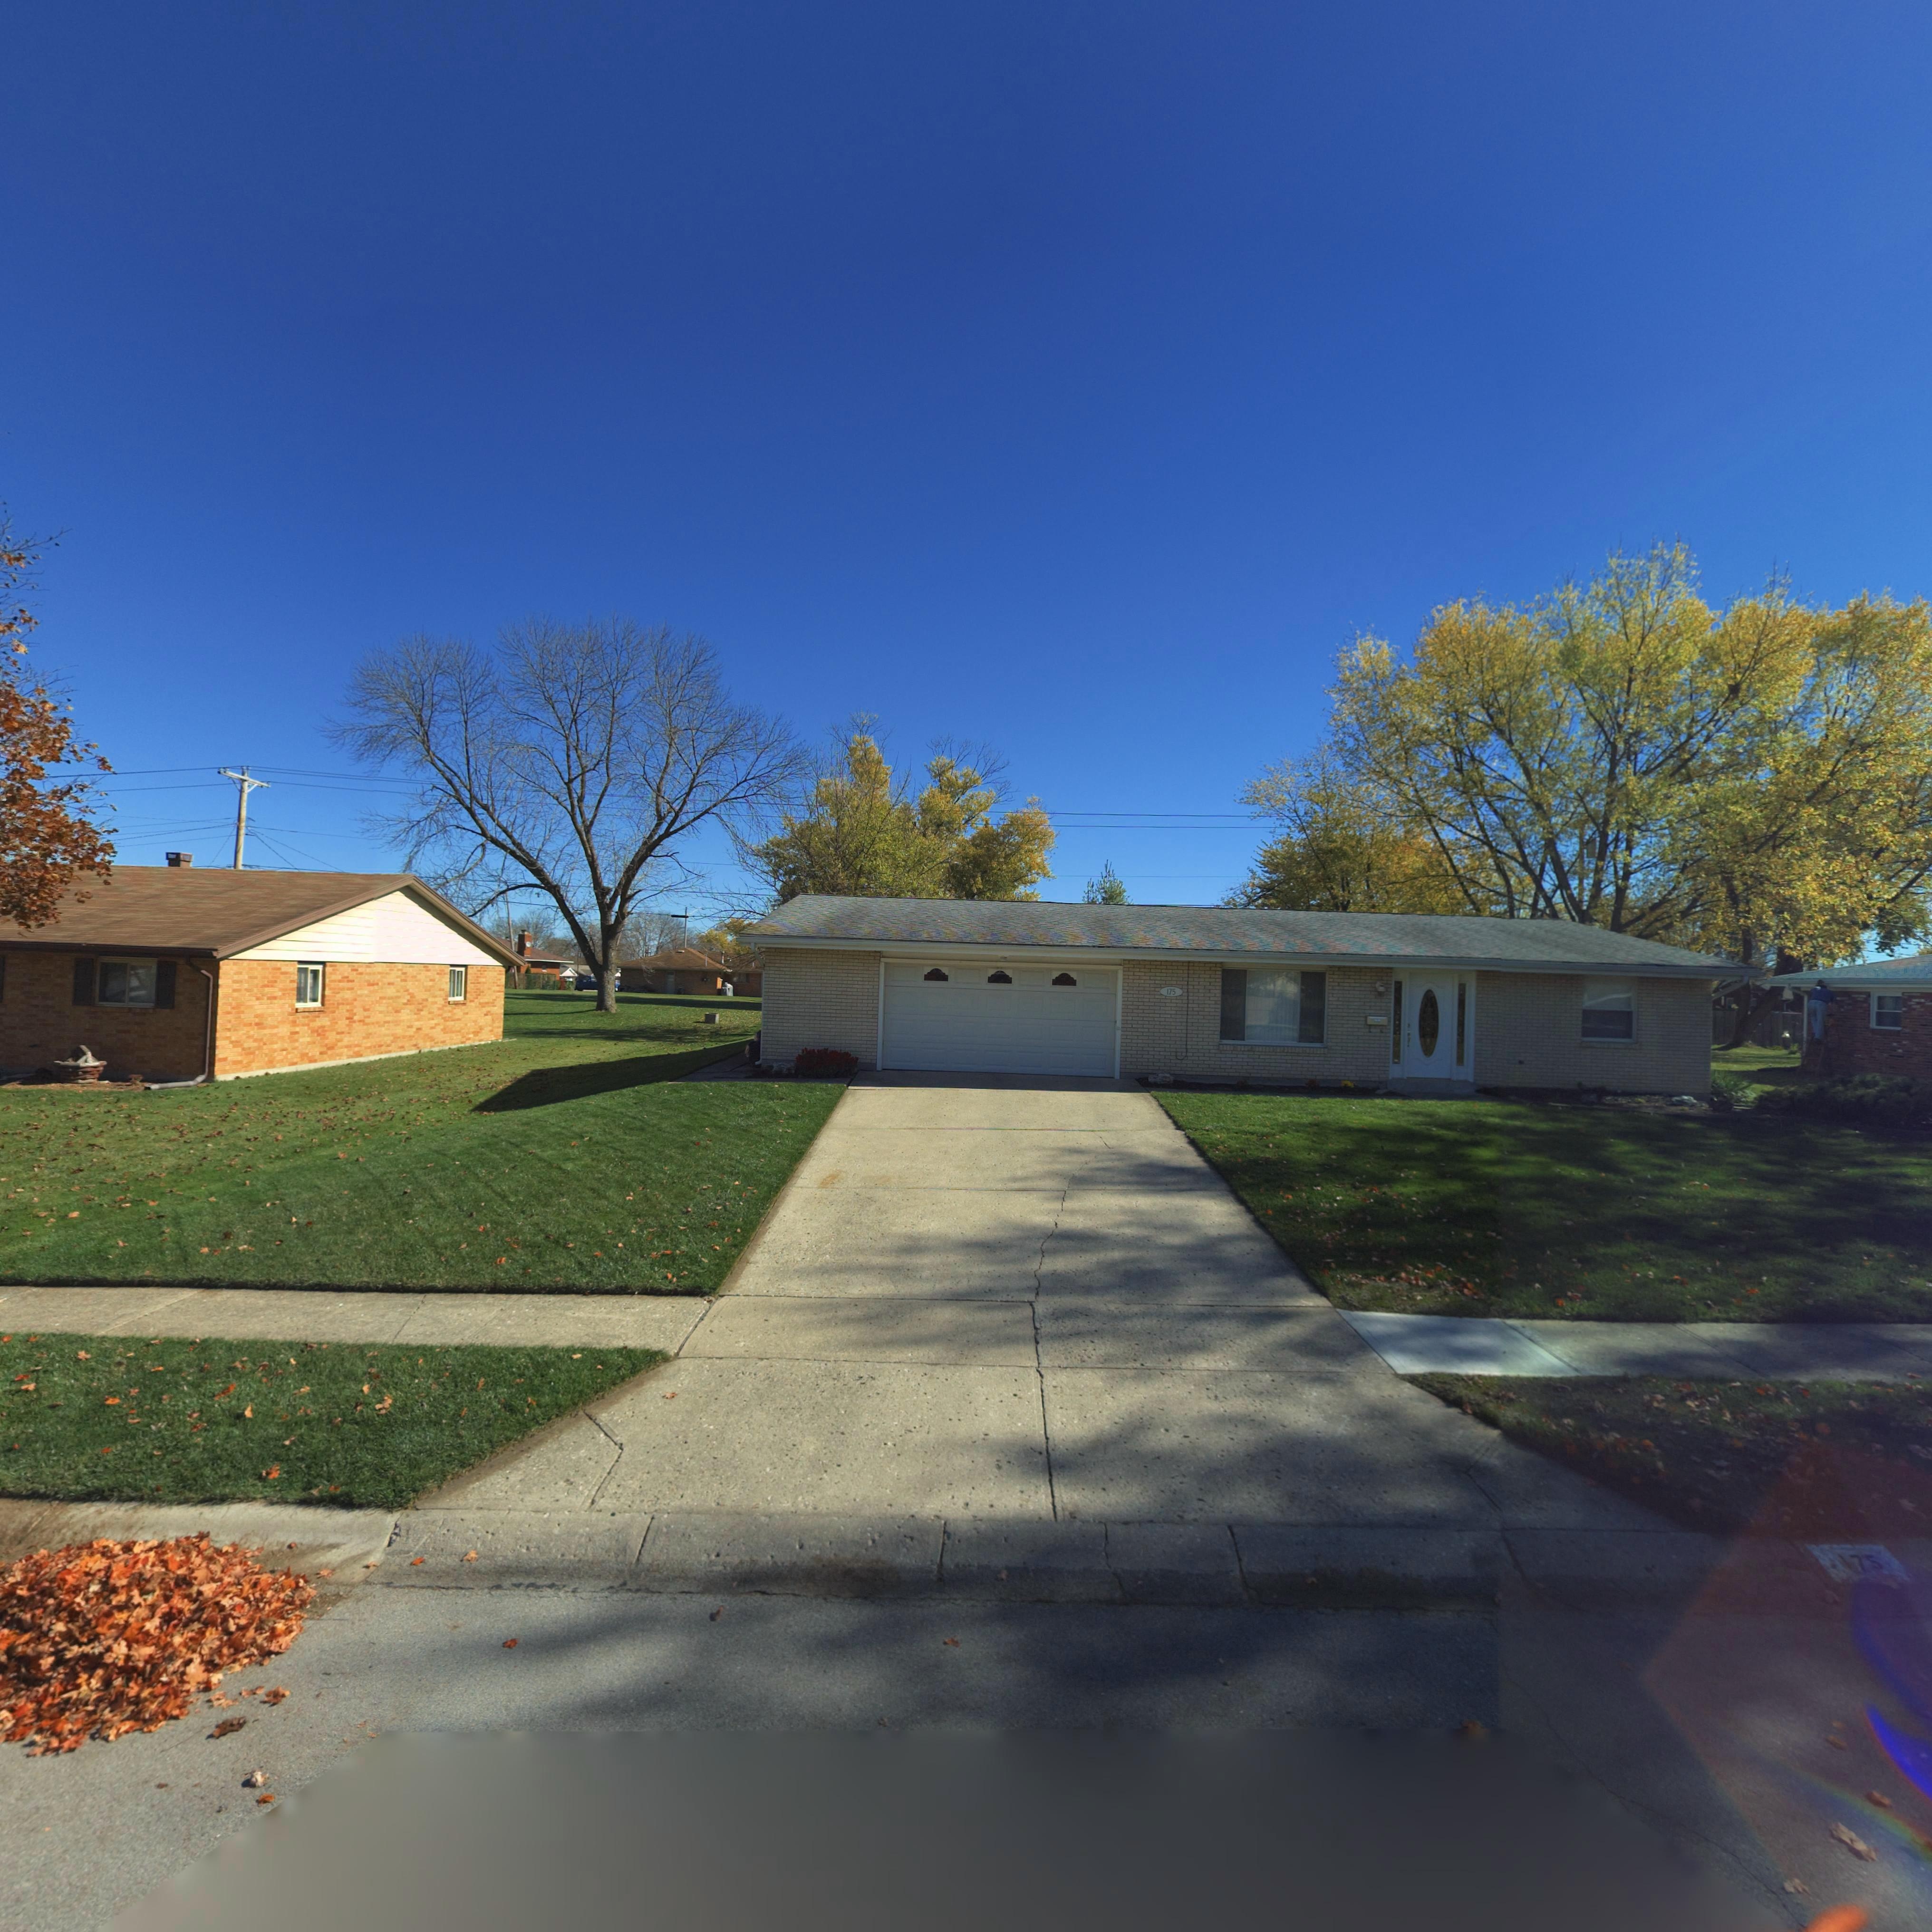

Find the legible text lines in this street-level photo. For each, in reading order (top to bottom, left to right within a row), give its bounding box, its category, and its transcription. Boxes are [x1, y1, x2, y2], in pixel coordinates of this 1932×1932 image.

[1166, 987, 1177, 996] StreetNumber: 175